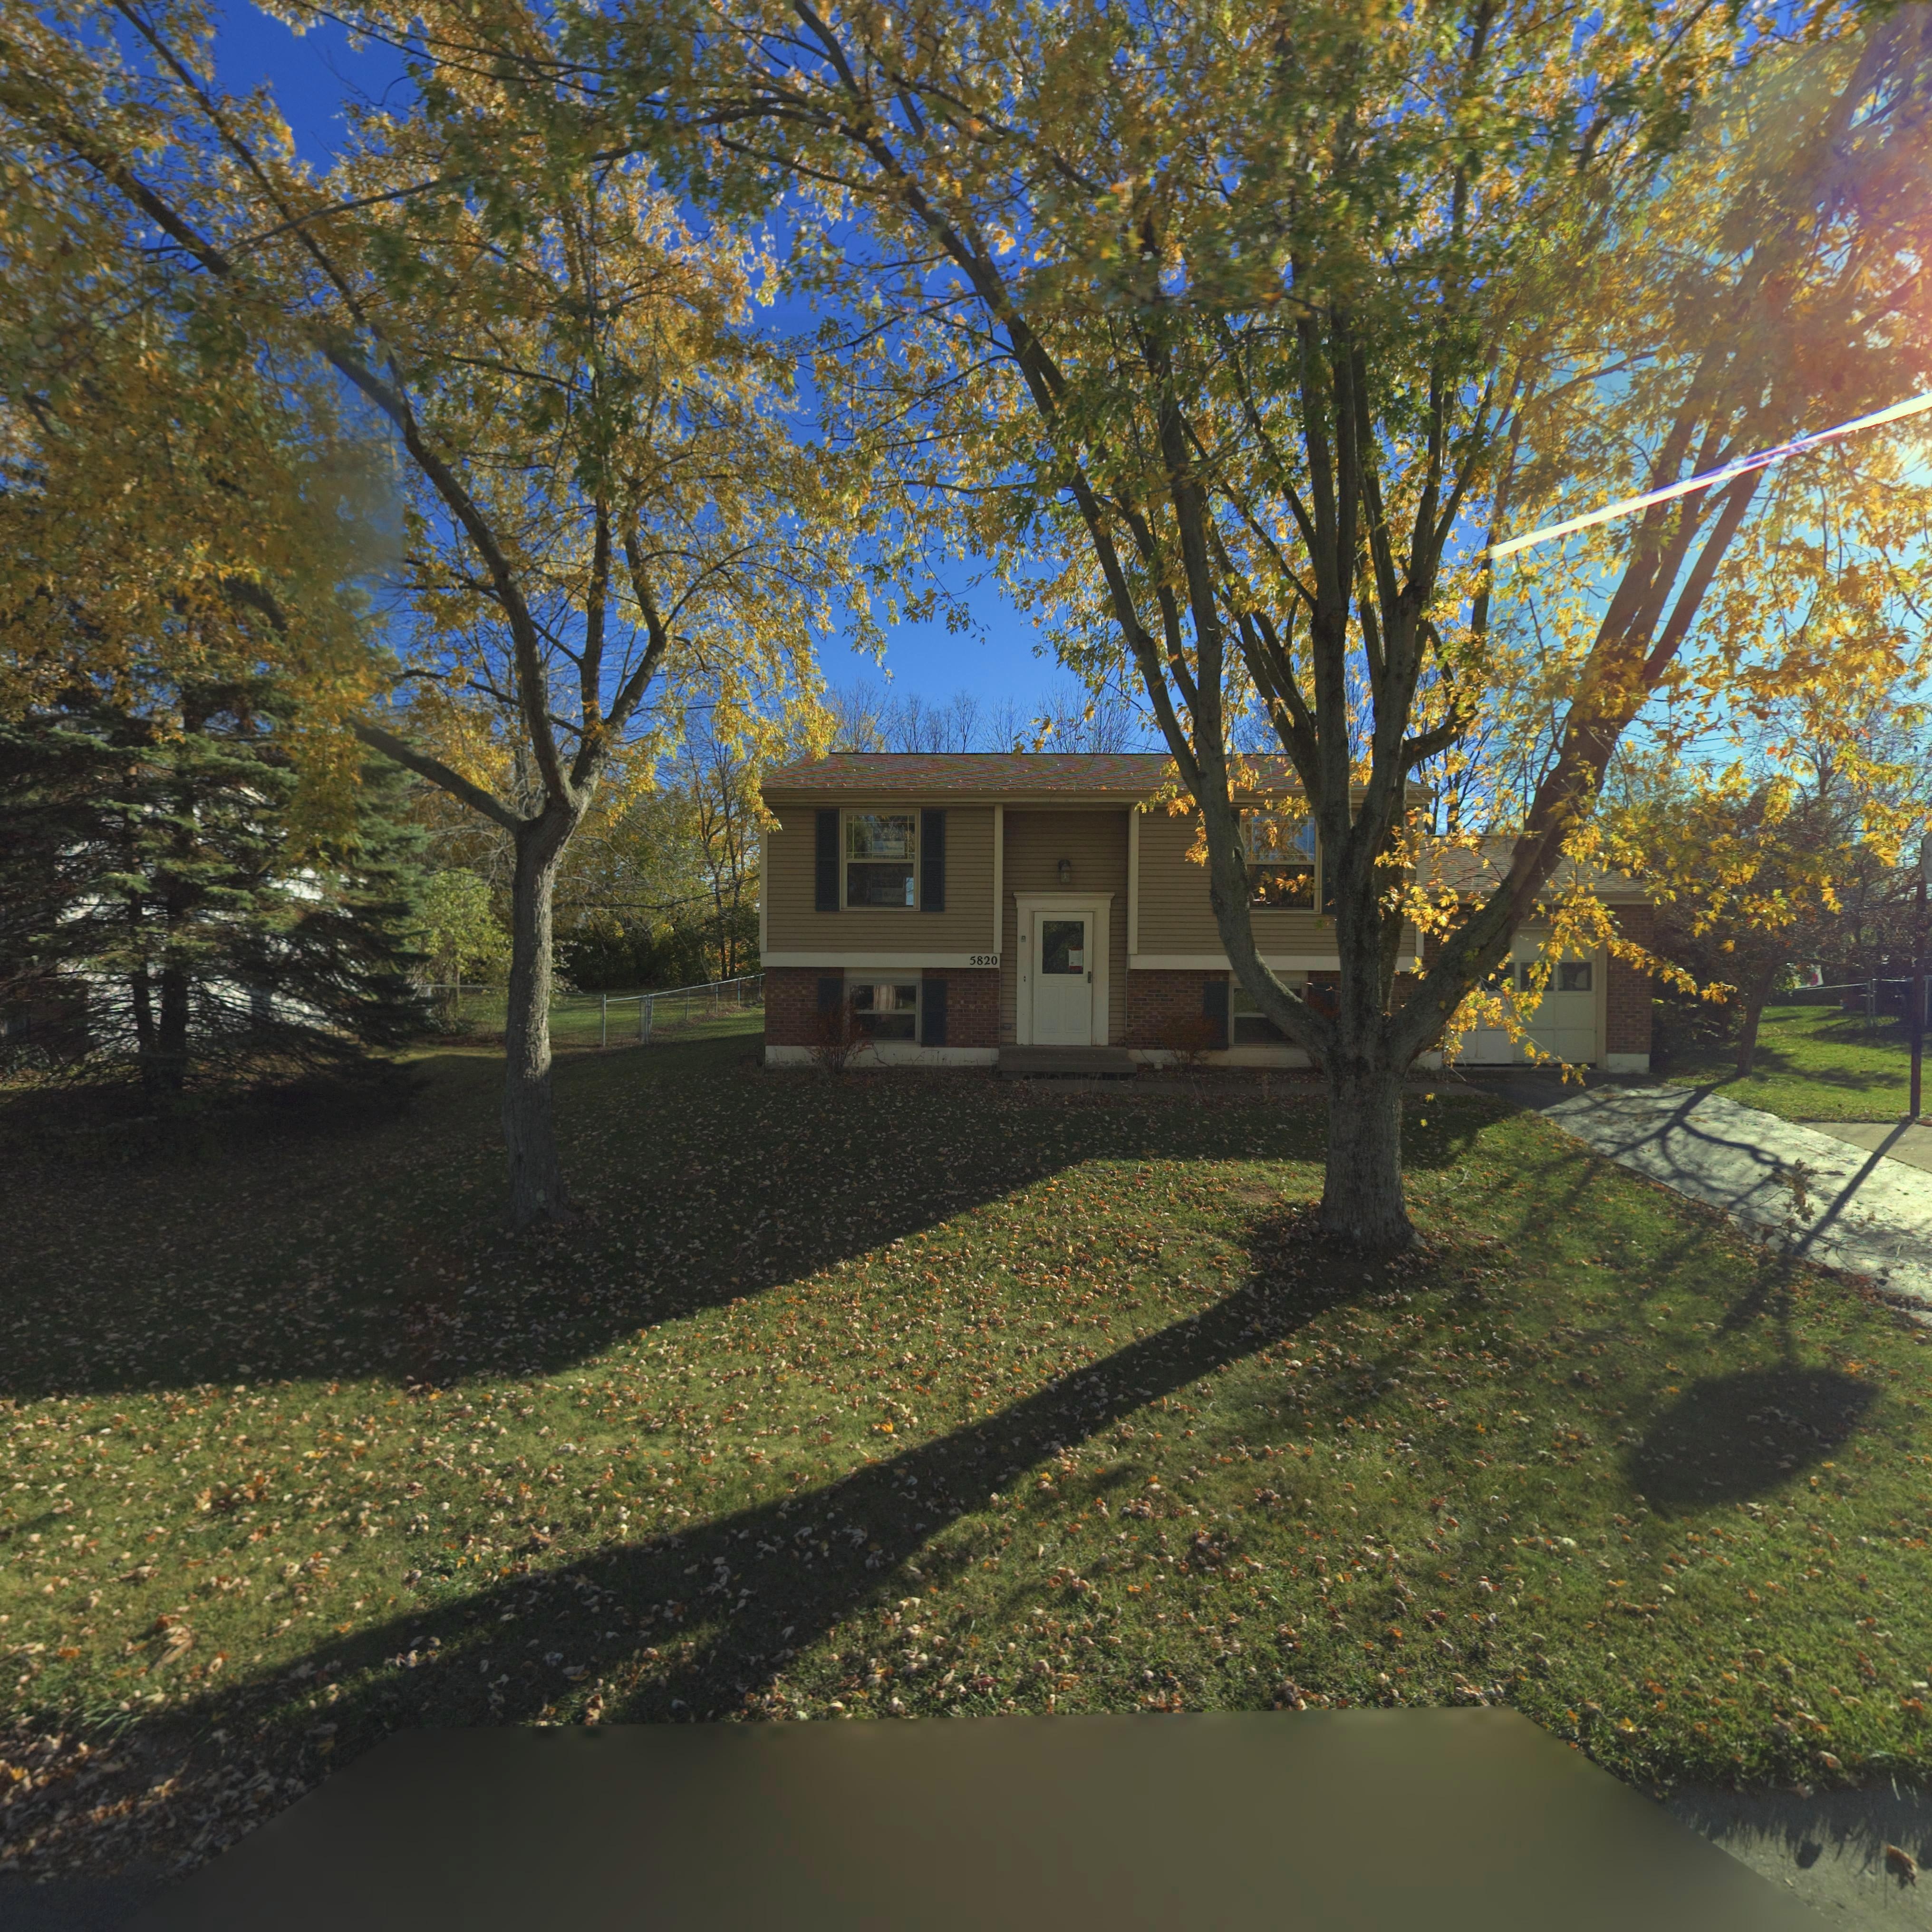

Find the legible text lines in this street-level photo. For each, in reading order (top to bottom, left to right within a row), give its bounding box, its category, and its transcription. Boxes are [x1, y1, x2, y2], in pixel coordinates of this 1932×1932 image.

[968, 955, 998, 966] StreetNumber: 5820